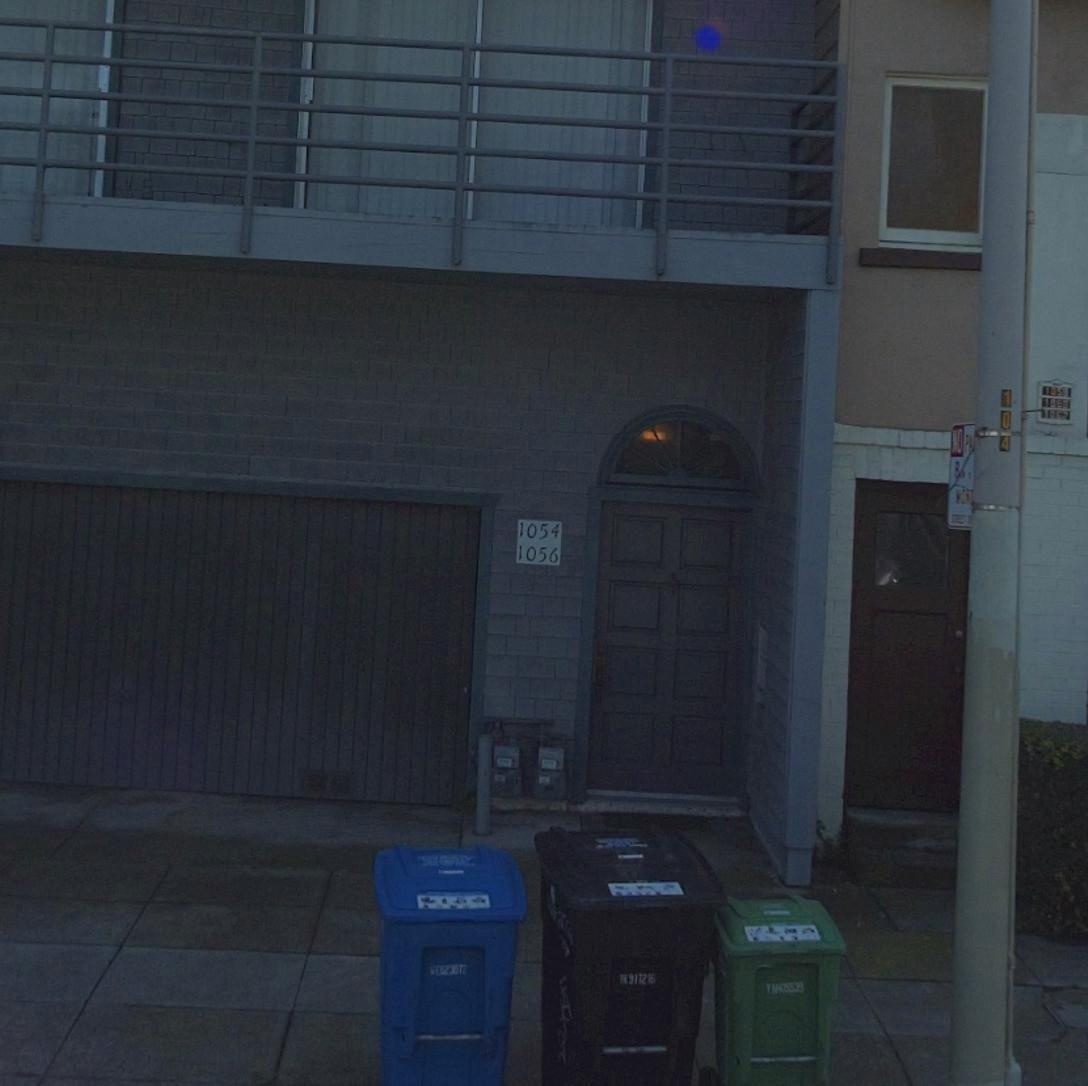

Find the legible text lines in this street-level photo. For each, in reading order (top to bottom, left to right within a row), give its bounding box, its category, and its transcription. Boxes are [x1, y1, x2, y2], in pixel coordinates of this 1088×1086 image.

[998, 388, 1012, 453] None: 104
[1042, 384, 1070, 400] StreetNumber: 105*
[1042, 396, 1070, 410] StreetNumber: 105*
[1041, 407, 1071, 422] StreetNumber: 10**
[955, 424, 971, 455] None: O P
[516, 518, 562, 541] StreetNumber: 1054
[516, 543, 560, 566] StreetNumber: 1056
[626, 970, 649, 988] None: 91*2